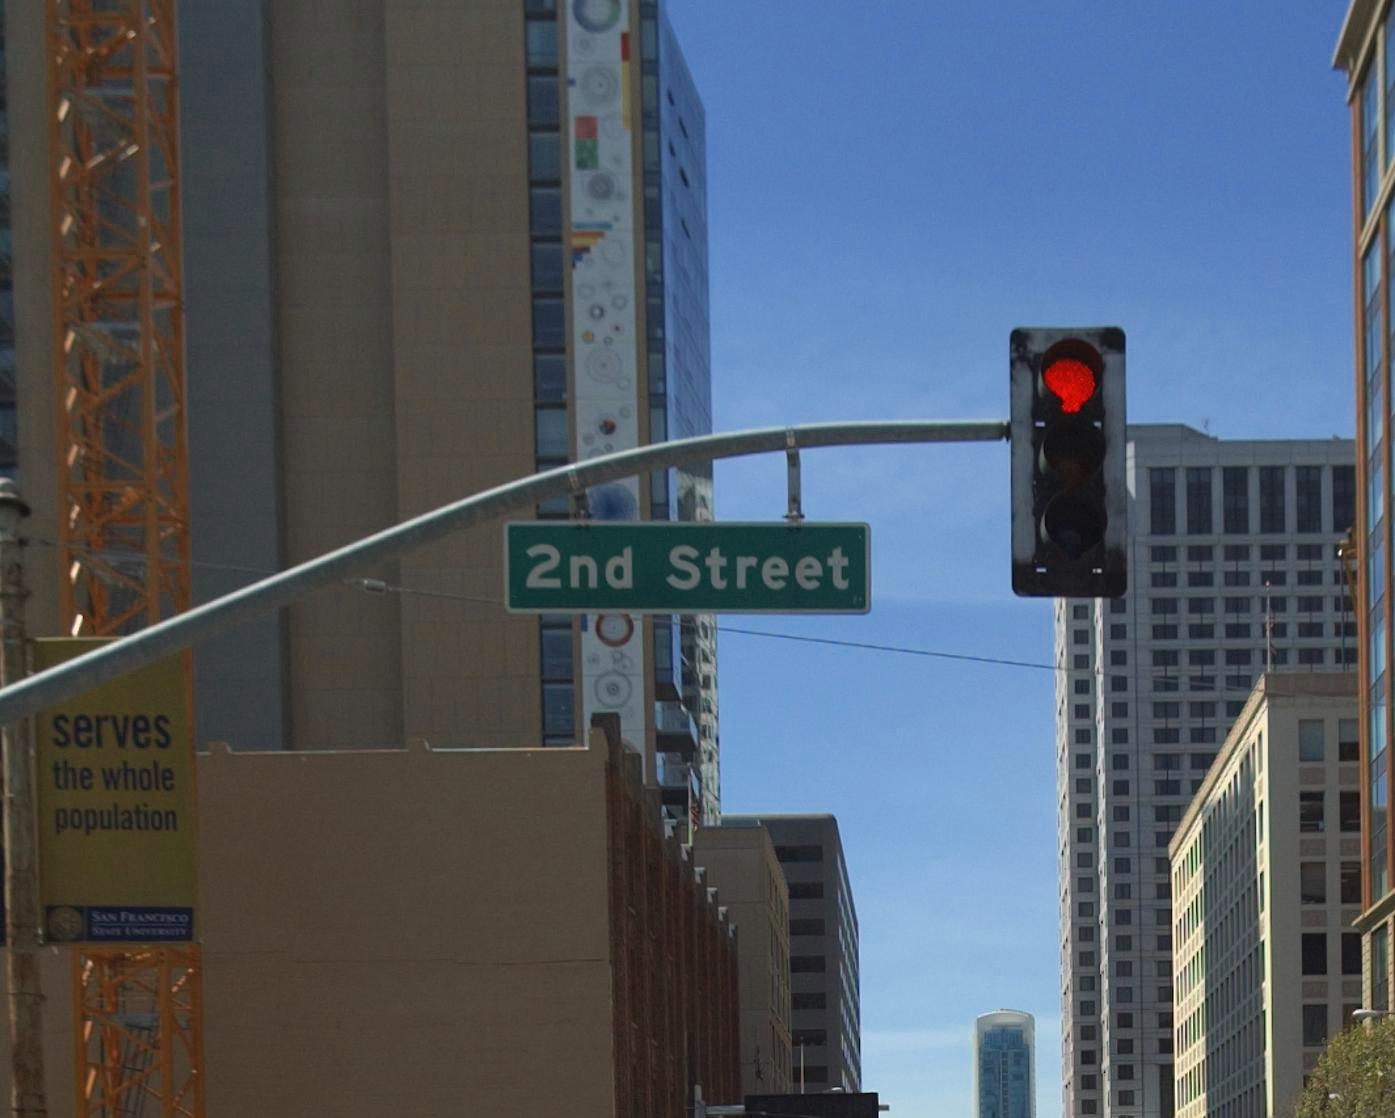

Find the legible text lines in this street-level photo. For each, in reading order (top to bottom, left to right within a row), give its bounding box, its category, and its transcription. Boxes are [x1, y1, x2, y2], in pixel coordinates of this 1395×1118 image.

[522, 542, 857, 594] StreetName: 2nd Street
[47, 711, 173, 750] None: serves
[50, 758, 175, 794] None: the whole
[52, 800, 181, 837] None: population
[90, 910, 189, 924] None: SAN FRANCISCO
[89, 924, 190, 939] None: STATE UNIVERSITY